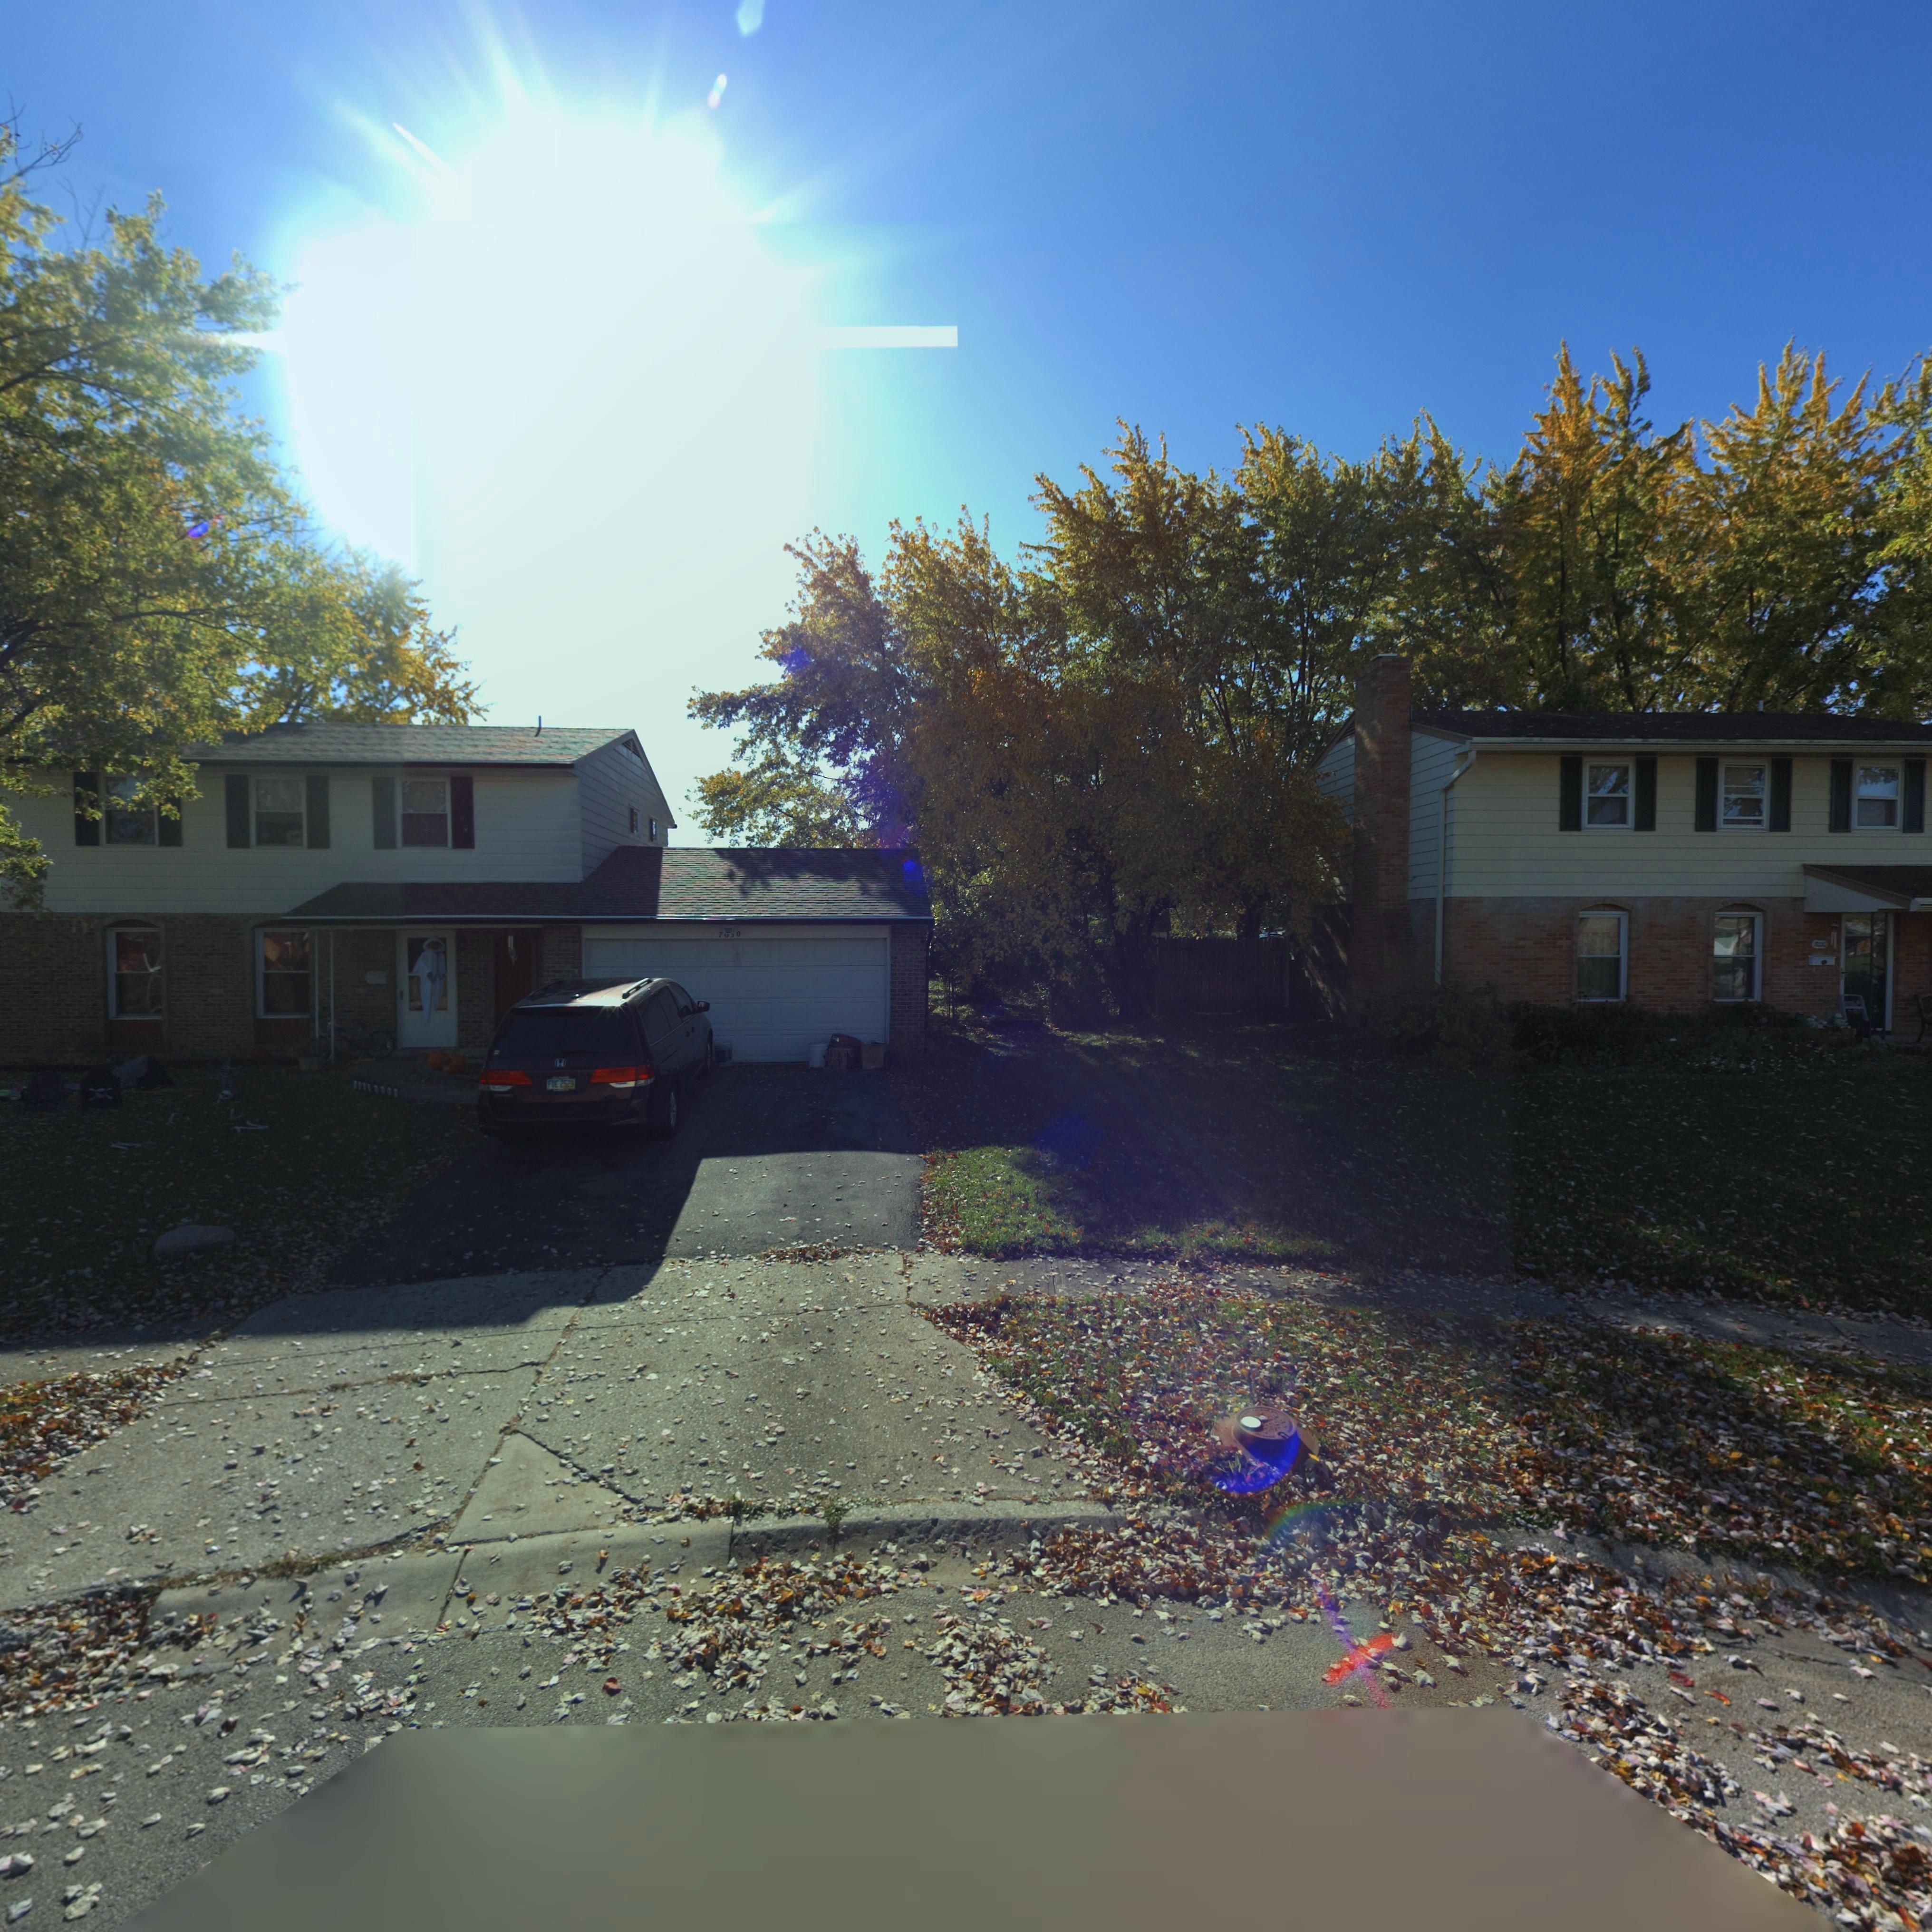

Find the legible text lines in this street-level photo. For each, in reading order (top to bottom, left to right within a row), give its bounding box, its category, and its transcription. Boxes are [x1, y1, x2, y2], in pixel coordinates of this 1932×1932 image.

[717, 931, 741, 938] StreetNumber: 7**0
[1813, 941, 1828, 947] StreetNumber: 7020